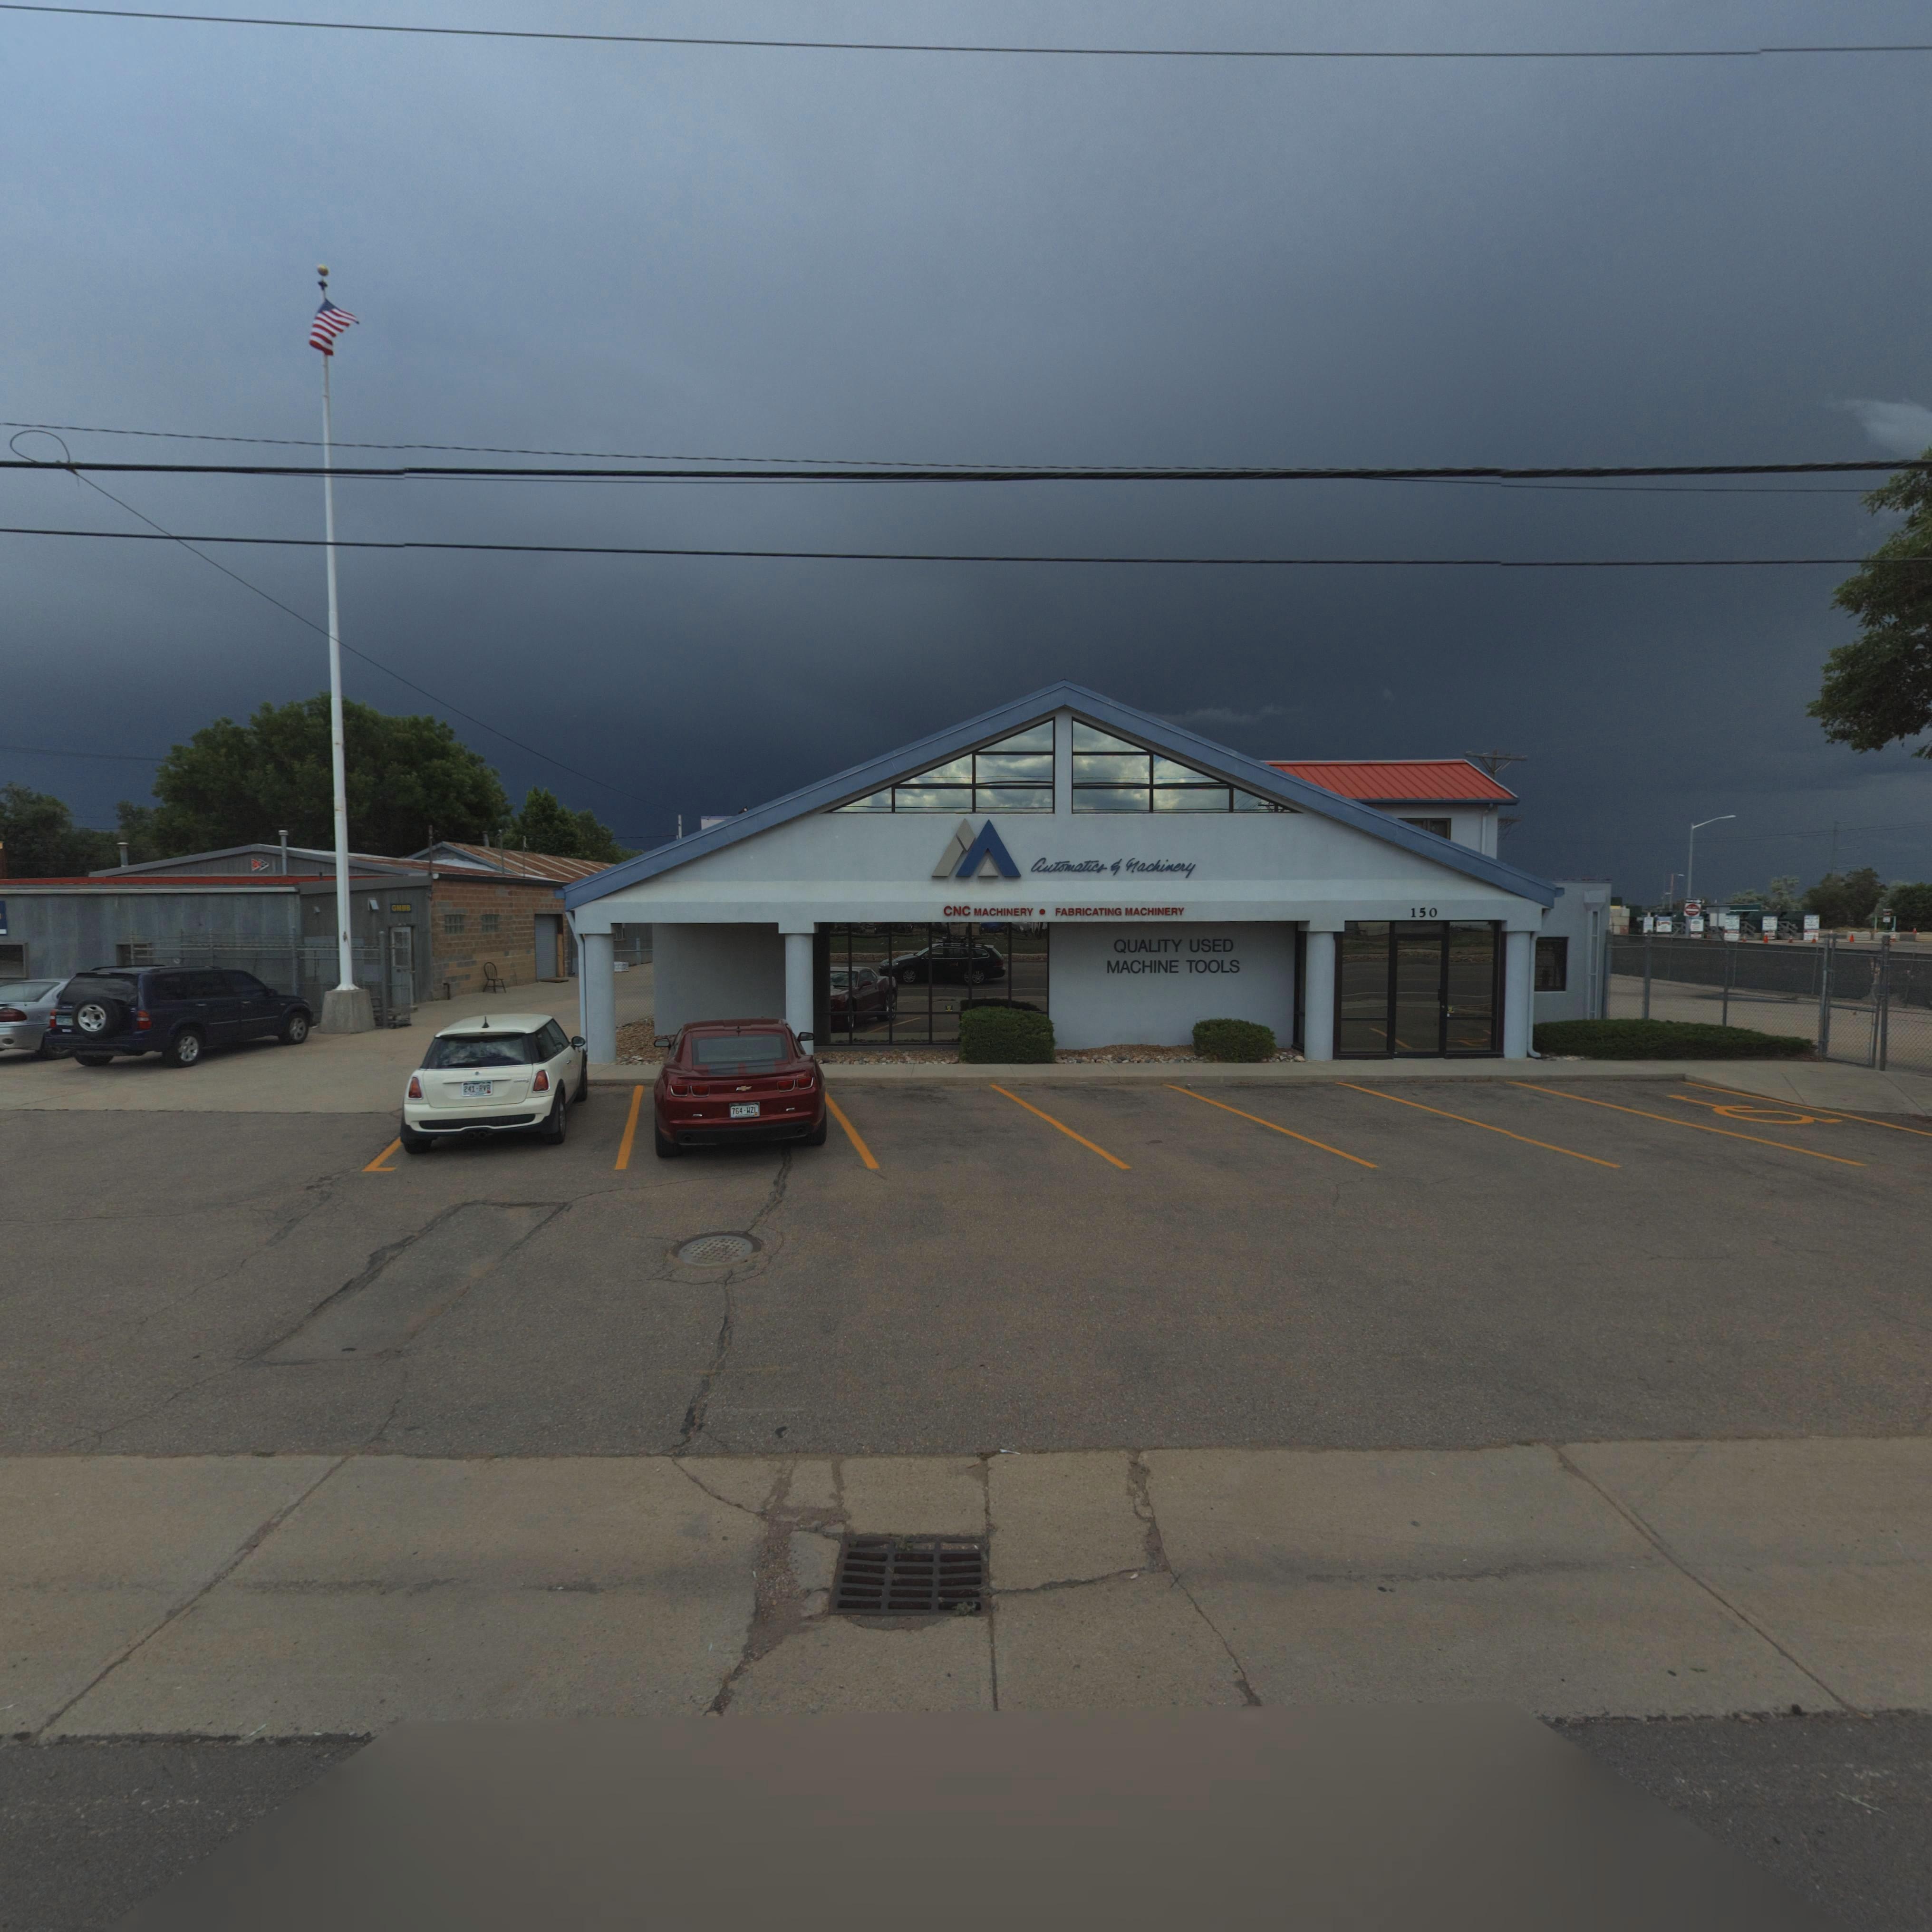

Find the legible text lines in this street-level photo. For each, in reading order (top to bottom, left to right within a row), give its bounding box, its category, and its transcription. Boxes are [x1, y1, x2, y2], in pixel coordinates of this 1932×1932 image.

[1028, 856, 1198, 880] BusinessName: *uTomaTic* * *achine*y
[391, 904, 411, 912] BusinessName: GM*B
[1410, 907, 1438, 918] StreetNumber: 150